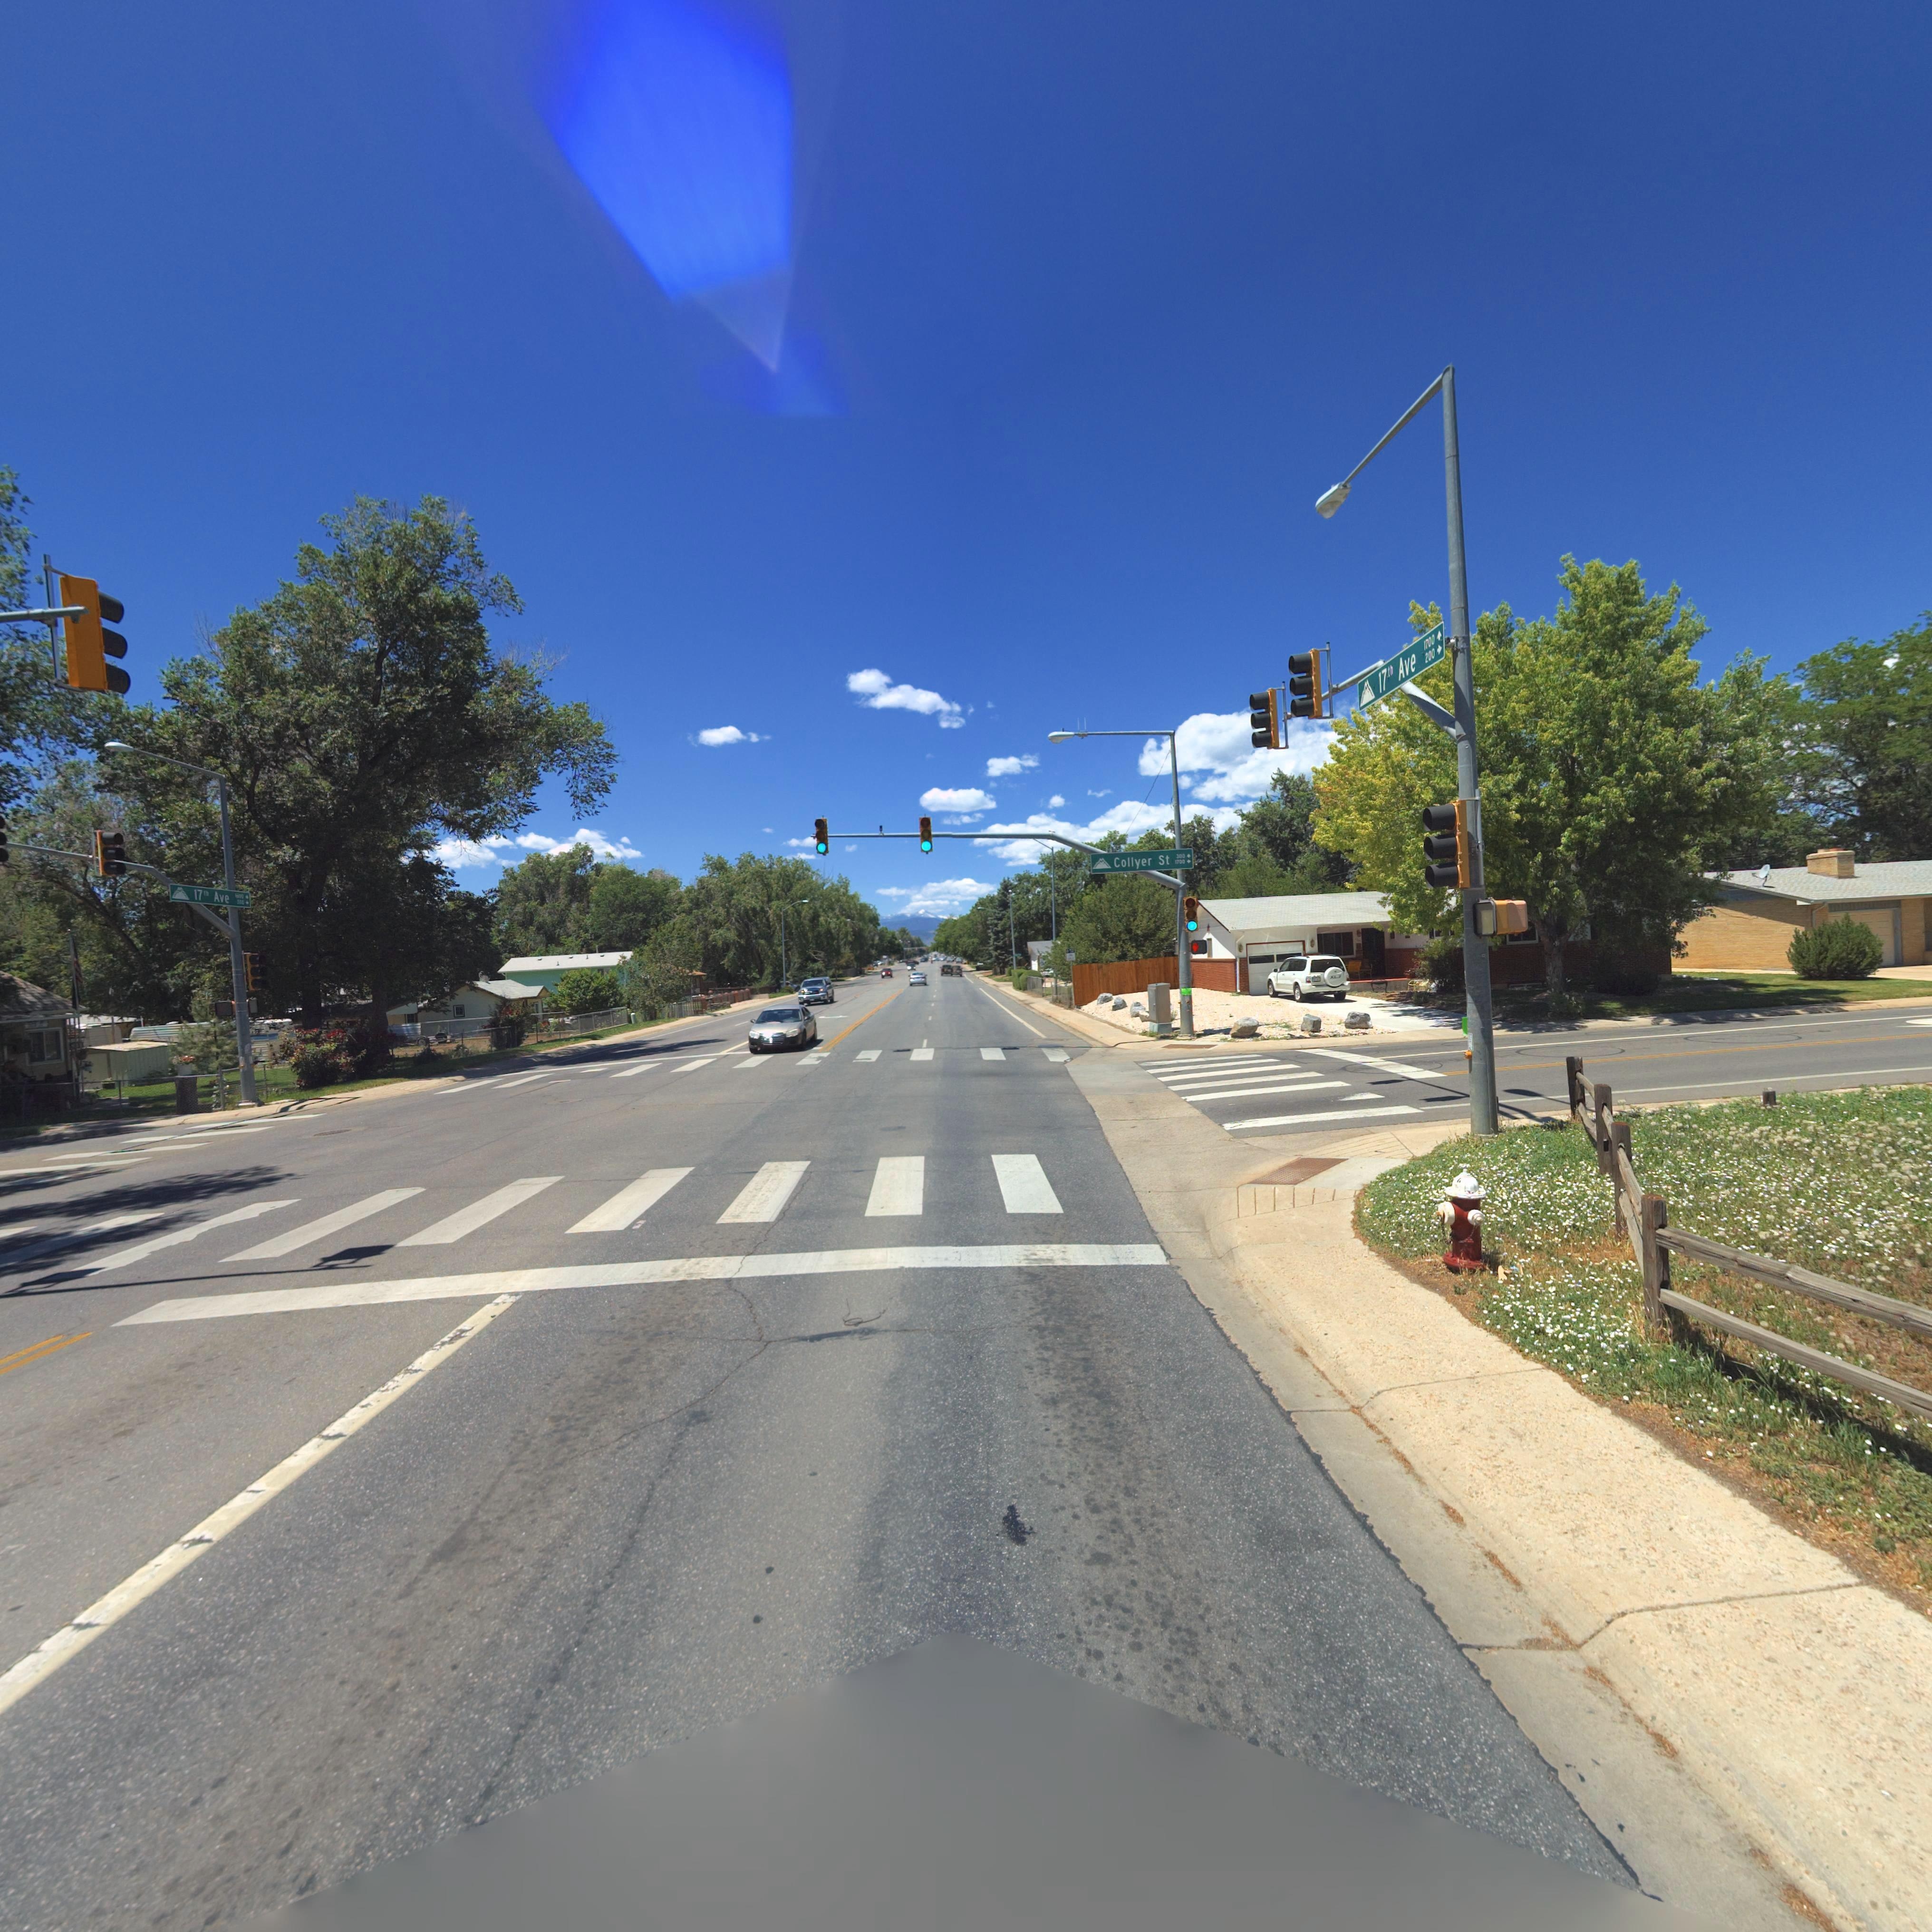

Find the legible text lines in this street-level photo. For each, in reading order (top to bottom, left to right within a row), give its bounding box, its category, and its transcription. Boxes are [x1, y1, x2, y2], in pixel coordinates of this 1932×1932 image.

[1424, 633, 1435, 650] StreetNumberRange: 1700
[1424, 645, 1443, 663] StreetNumberRange: 200->
[1378, 653, 1416, 694] StreetName: 17th Ave
[1113, 854, 1170, 869] StreetName: Collyer St
[1175, 859, 1185, 864] StreetNumberRange: 1700
[1176, 853, 1186, 858] StreetNumberRange: 300
[194, 889, 229, 903] StreetName: 17th Ave